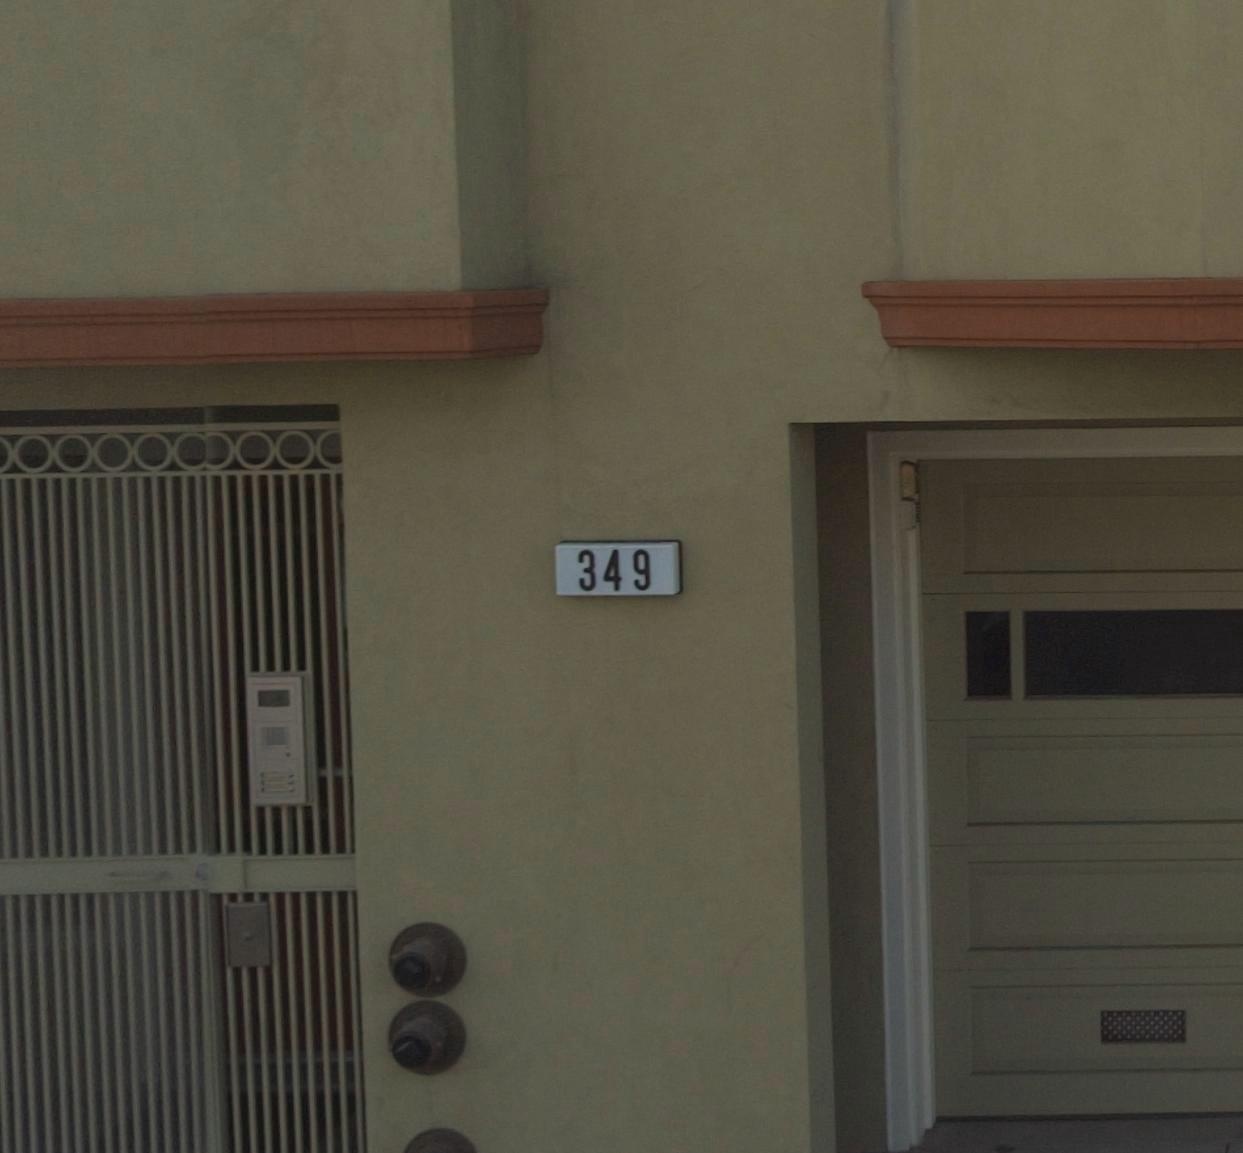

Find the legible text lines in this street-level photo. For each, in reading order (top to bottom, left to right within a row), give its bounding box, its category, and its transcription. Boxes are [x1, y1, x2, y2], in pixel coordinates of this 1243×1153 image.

[577, 547, 653, 593] StreetNumber: 349